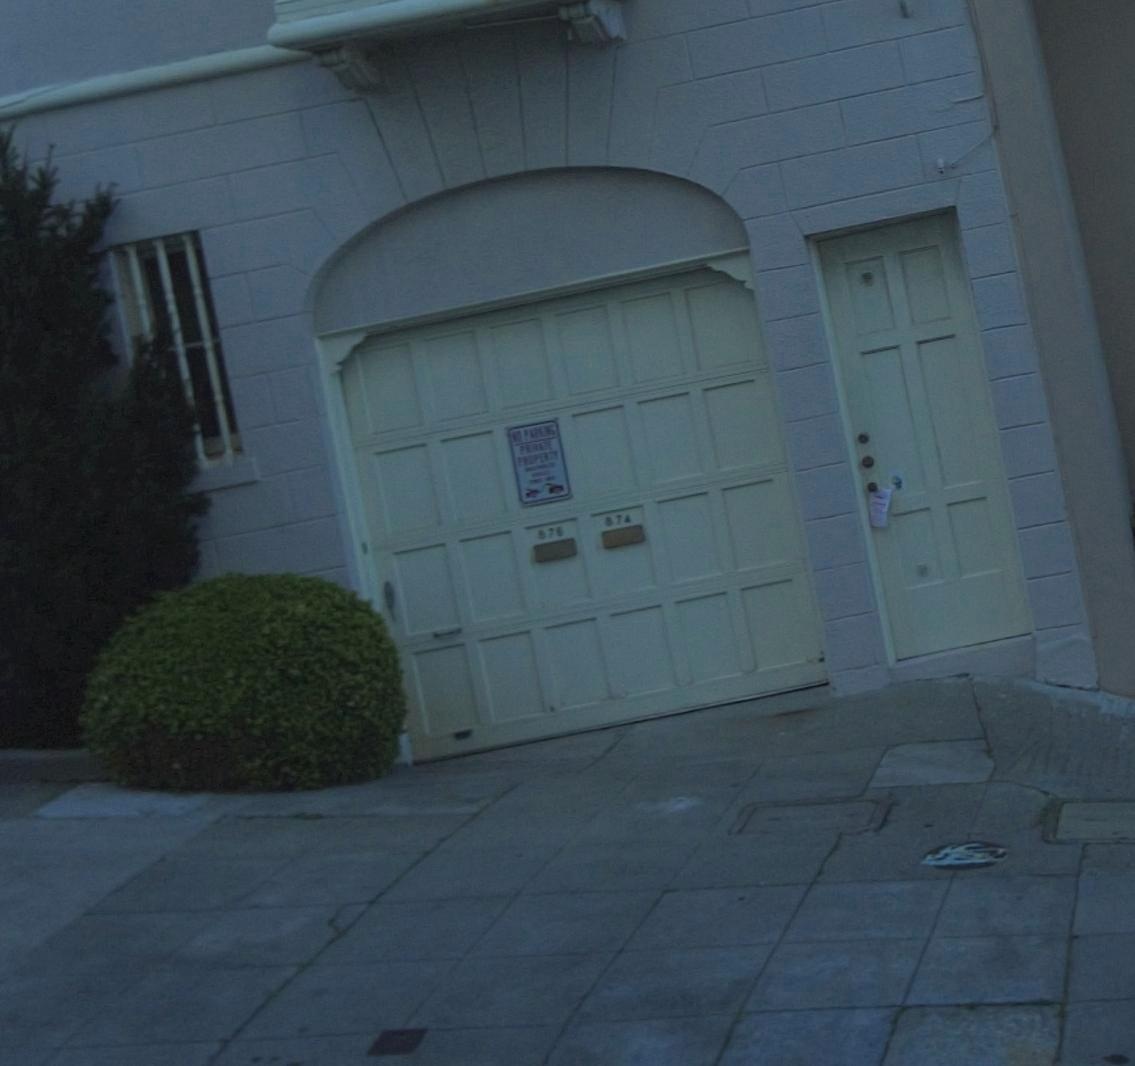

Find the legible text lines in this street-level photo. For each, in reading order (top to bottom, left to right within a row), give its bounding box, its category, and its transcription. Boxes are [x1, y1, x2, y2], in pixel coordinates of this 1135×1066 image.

[509, 423, 558, 445] None: NO PARKING
[517, 439, 554, 456] None: PRIVATE
[515, 449, 559, 469] None: PROPERTY
[603, 512, 634, 529] StreetNumber: 874
[536, 525, 565, 542] StreetNumber: 876